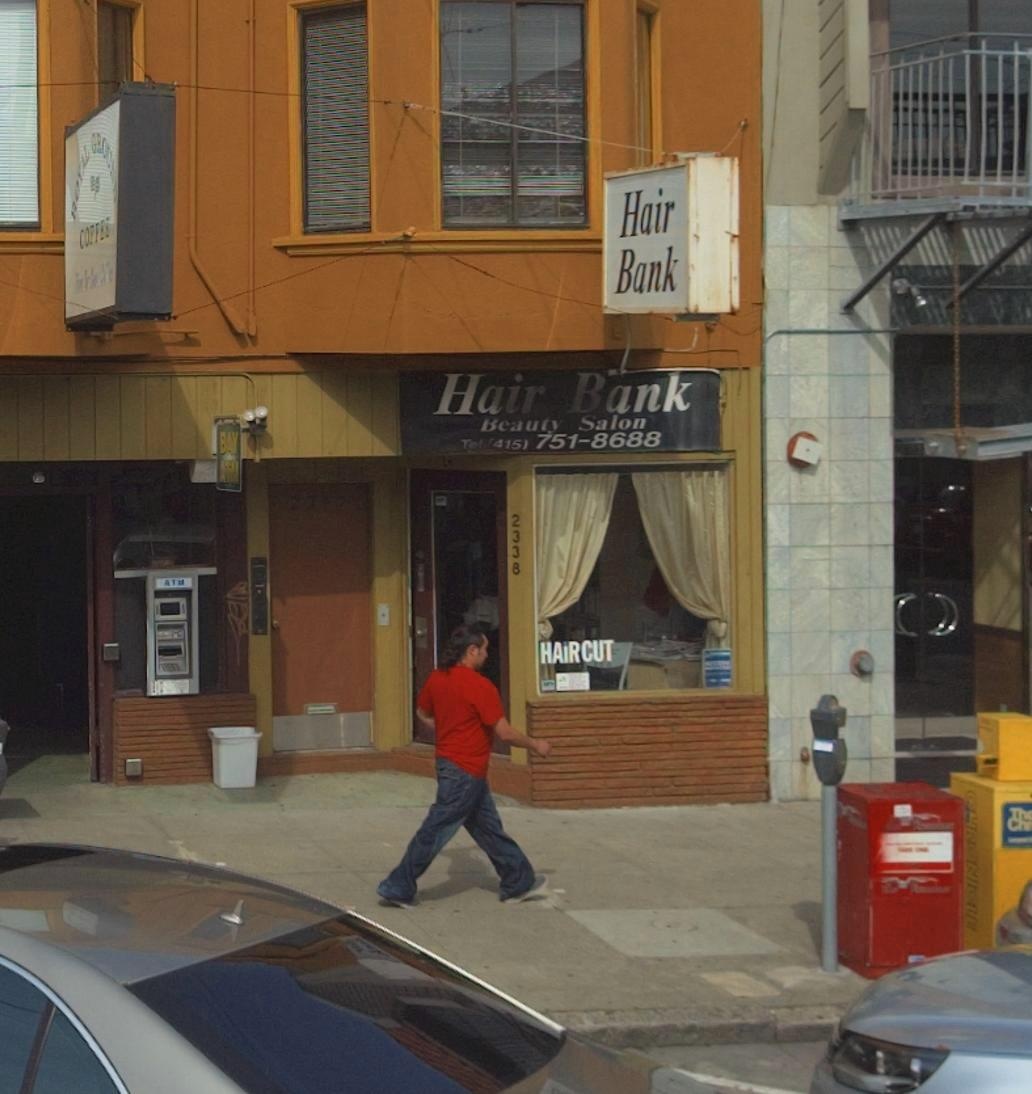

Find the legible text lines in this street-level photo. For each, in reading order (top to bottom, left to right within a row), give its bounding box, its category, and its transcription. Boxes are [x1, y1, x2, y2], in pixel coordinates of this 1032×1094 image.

[617, 185, 677, 241] BusinessName: Hair
[77, 212, 112, 253] BusinessName: CO****
[612, 243, 681, 296] BusinessName: Bank
[428, 370, 696, 418] BusinessName: Hair Bank
[477, 412, 649, 436] BusinessName: Beauty Salon
[217, 428, 241, 457] None: BAY
[458, 437, 474, 452] None: T
[489, 429, 664, 452] None: 415) 751-8688
[509, 510, 523, 579] StreetNumber: 2338
[169, 578, 179, 588] None: T
[538, 637, 617, 667] None: HAiRCUT
[1004, 814, 1029, 835] None: Ch
[1005, 804, 1031, 823] None: Th